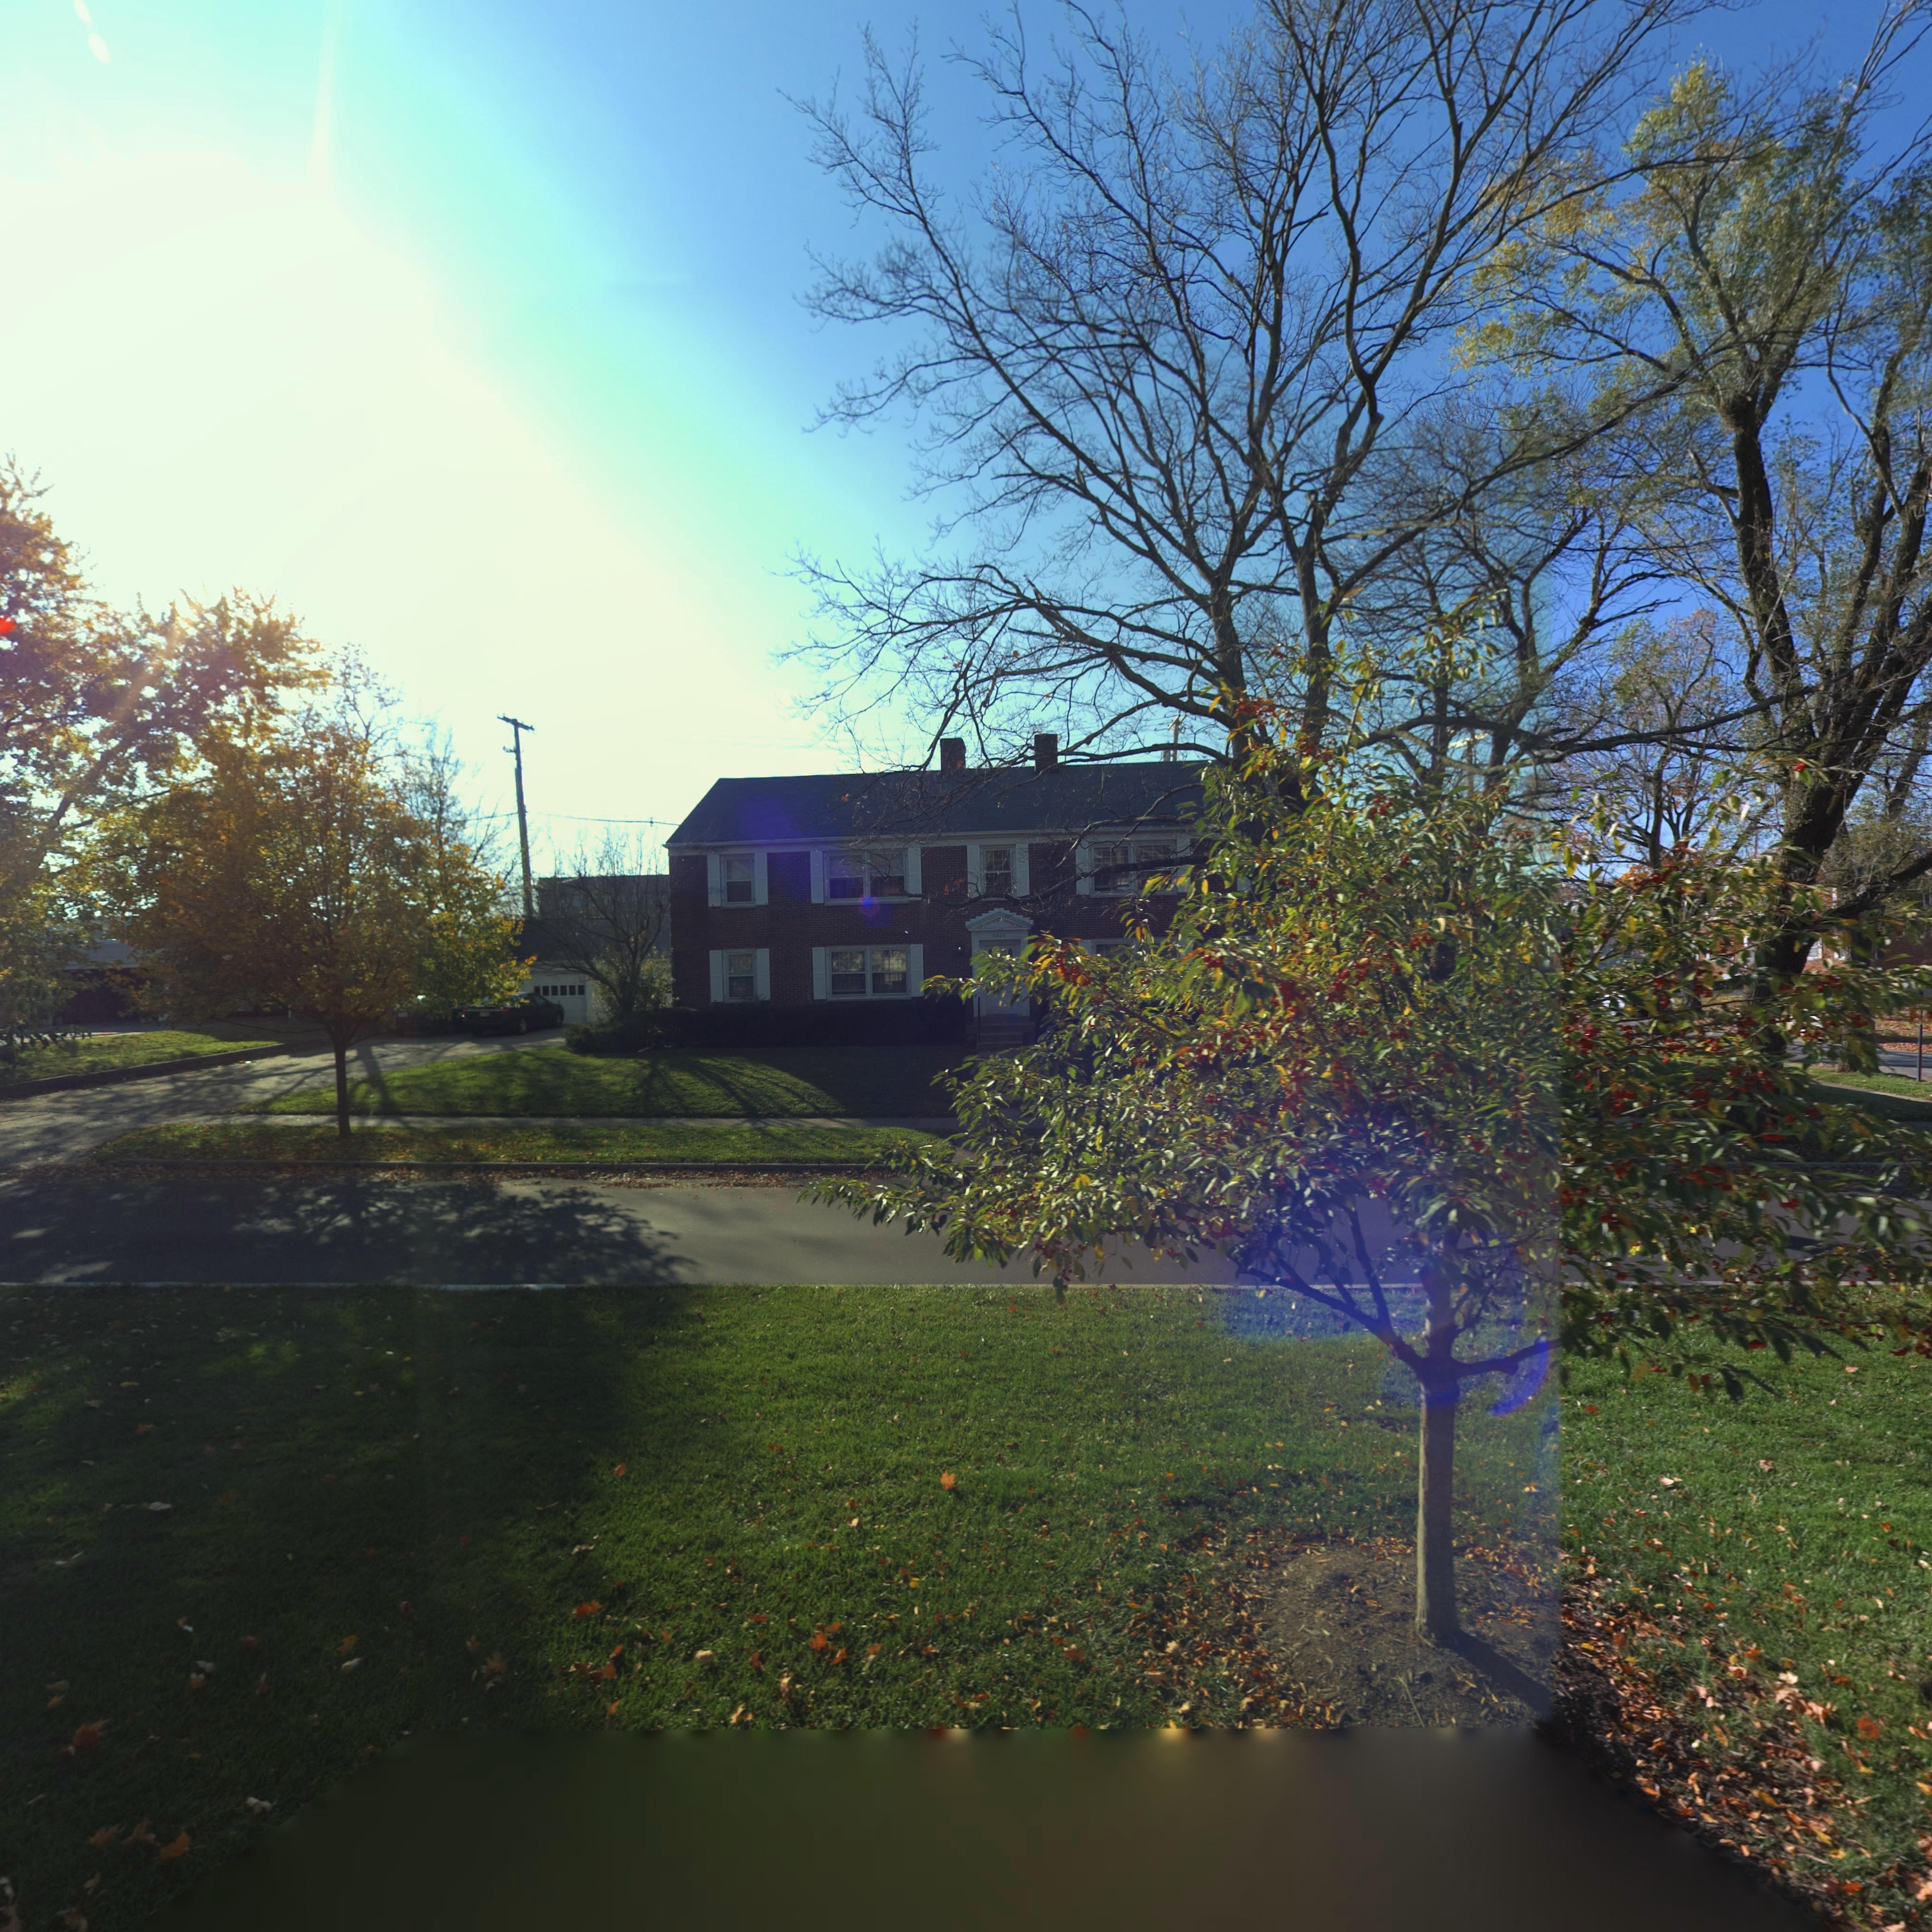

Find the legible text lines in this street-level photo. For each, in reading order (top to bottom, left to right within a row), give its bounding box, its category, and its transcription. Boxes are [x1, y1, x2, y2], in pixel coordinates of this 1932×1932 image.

[991, 933, 1006, 938] StreetNumber: 2605